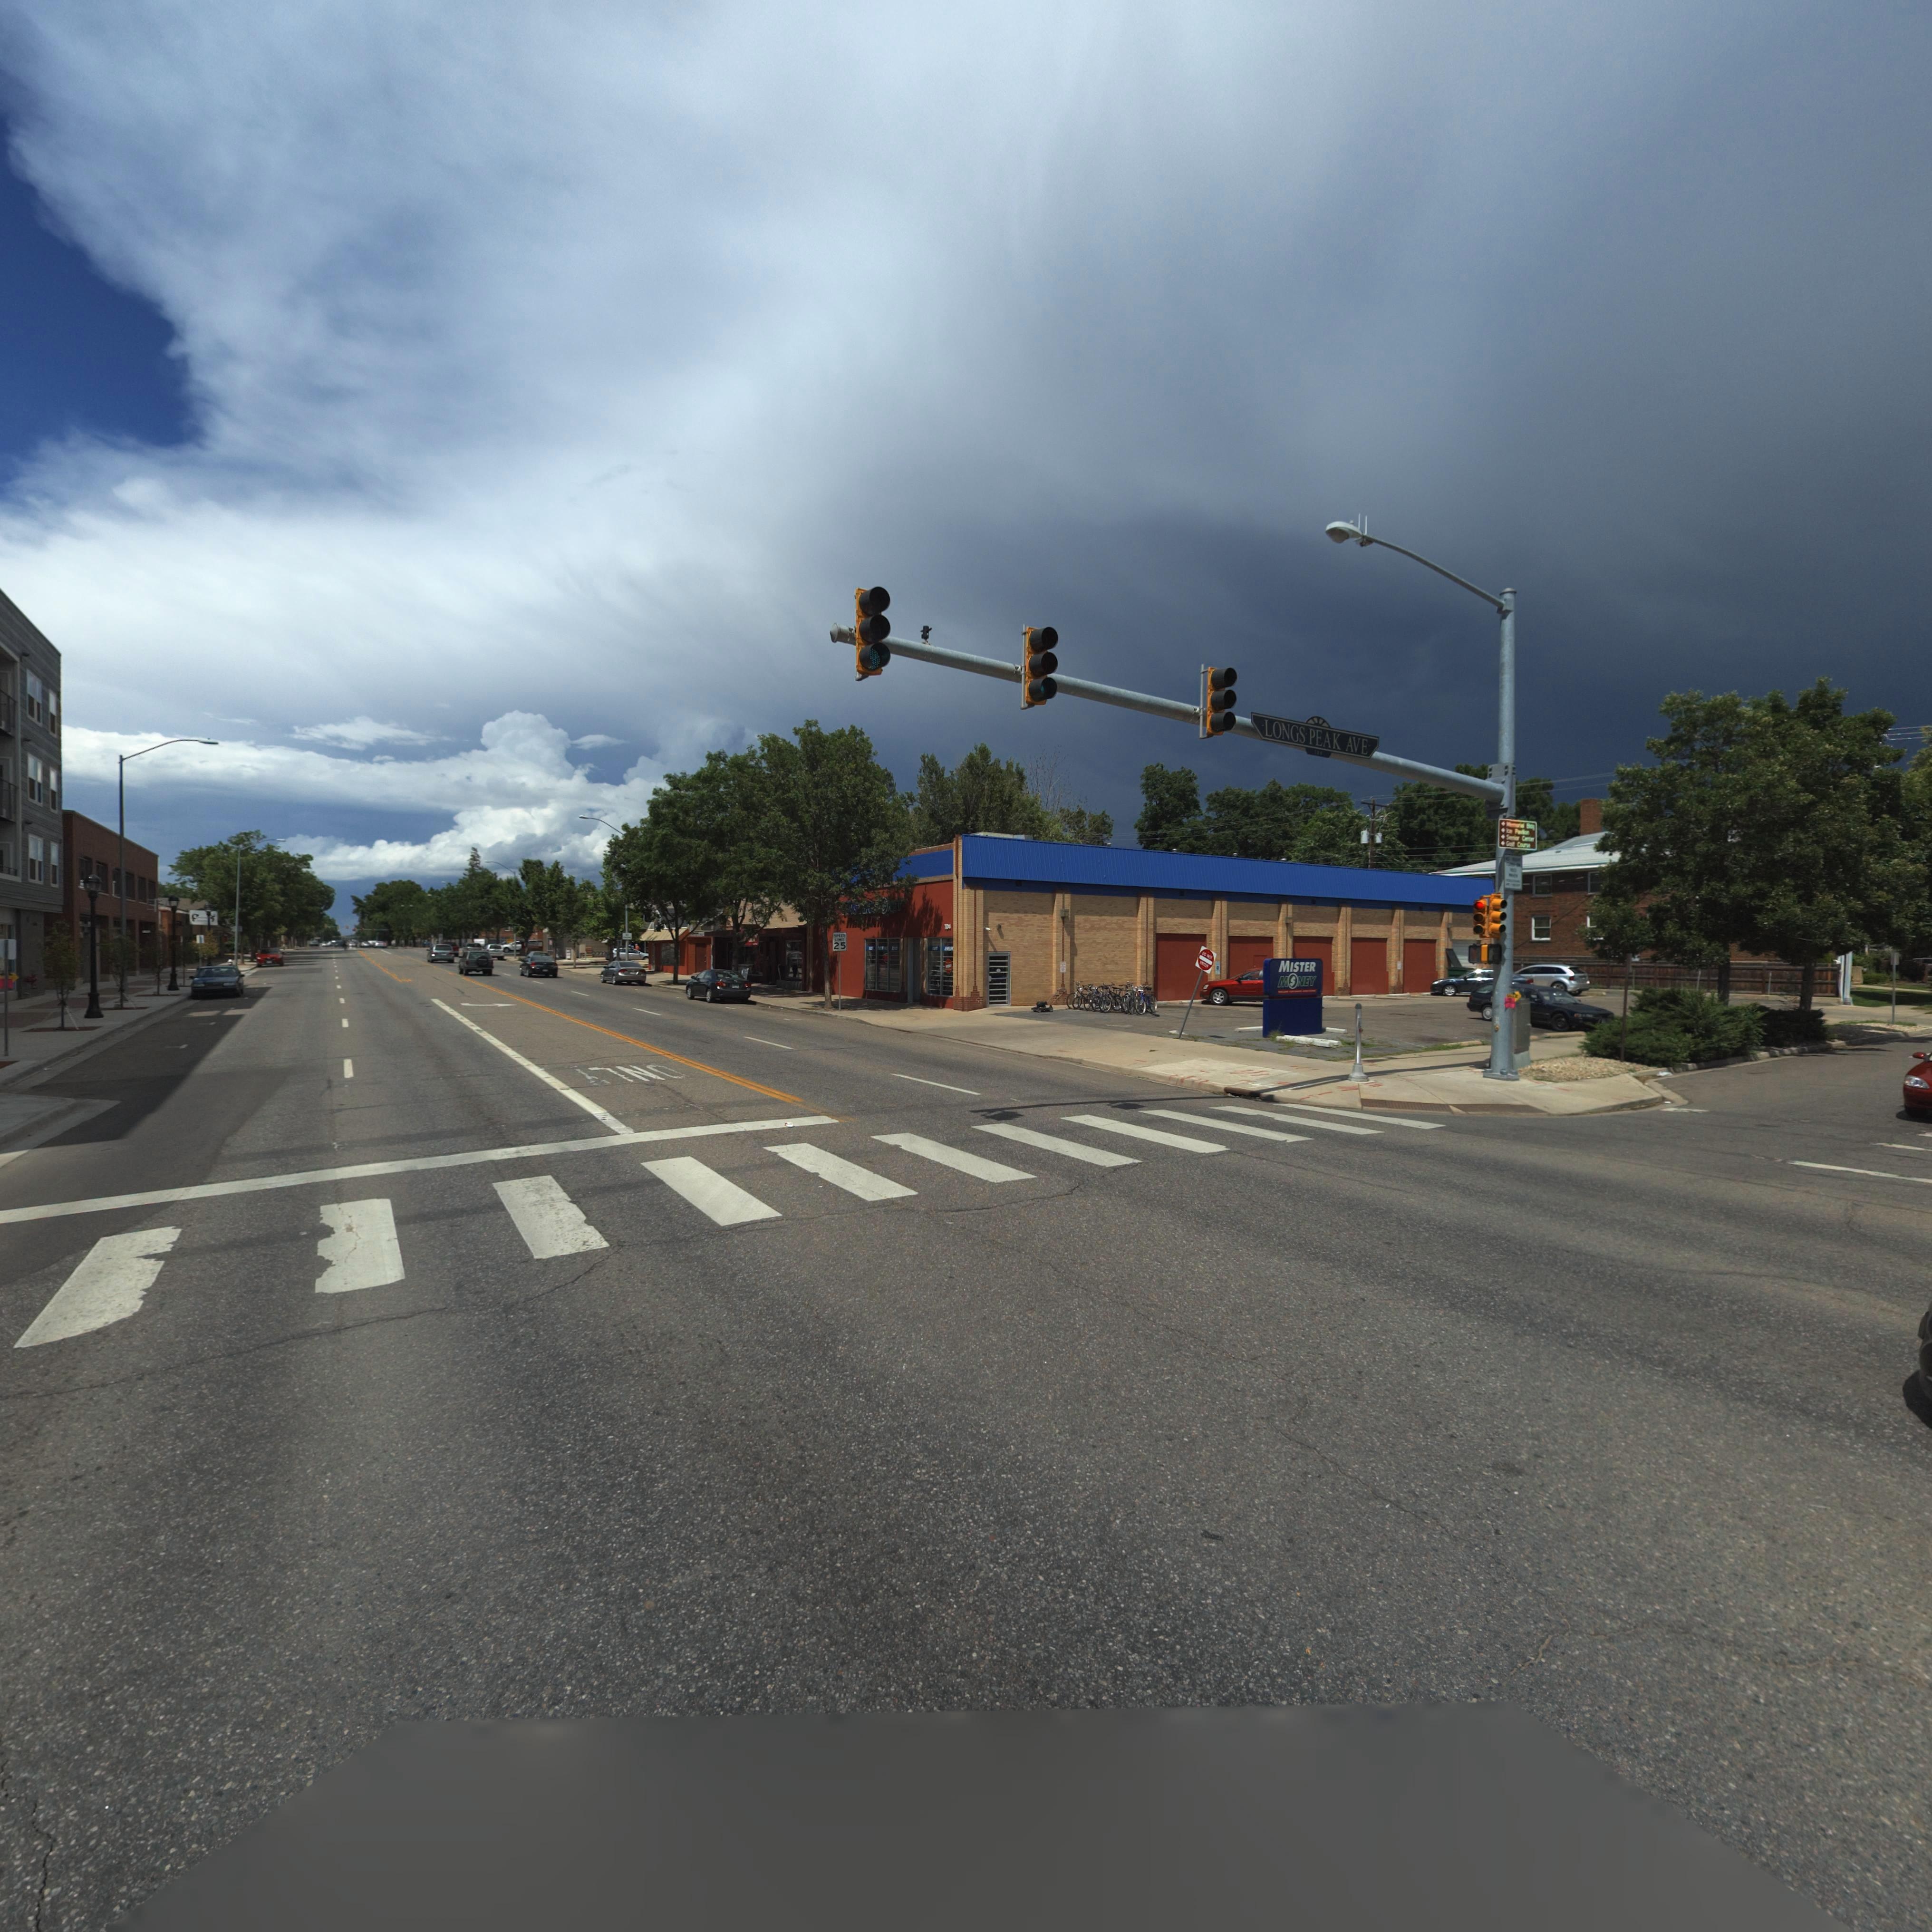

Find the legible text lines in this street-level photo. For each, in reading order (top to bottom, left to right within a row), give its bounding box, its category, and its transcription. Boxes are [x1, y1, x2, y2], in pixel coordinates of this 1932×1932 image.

[1265, 719, 1367, 754] StreetName: LONGS PEAK AVE
[1314, 749, 1323, 755] StreetNumberRange: 700
[1278, 960, 1316, 972] BusinessName: MISTER
[1277, 973, 1317, 989] BusinessName: M*NEY